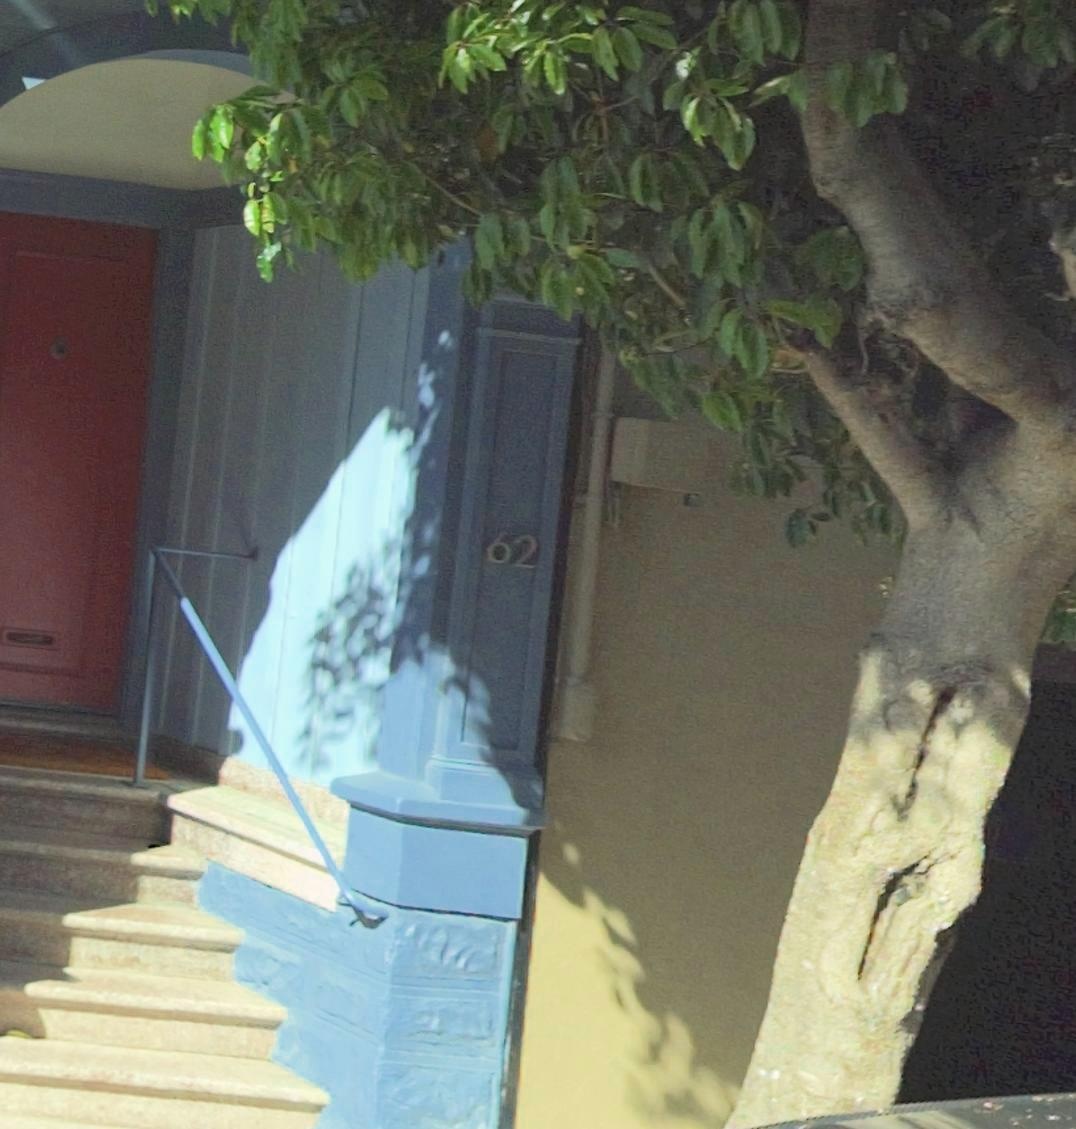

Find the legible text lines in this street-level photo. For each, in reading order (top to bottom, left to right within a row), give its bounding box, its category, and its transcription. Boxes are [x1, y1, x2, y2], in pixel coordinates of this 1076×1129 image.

[477, 528, 540, 572] StreetNumber: 62